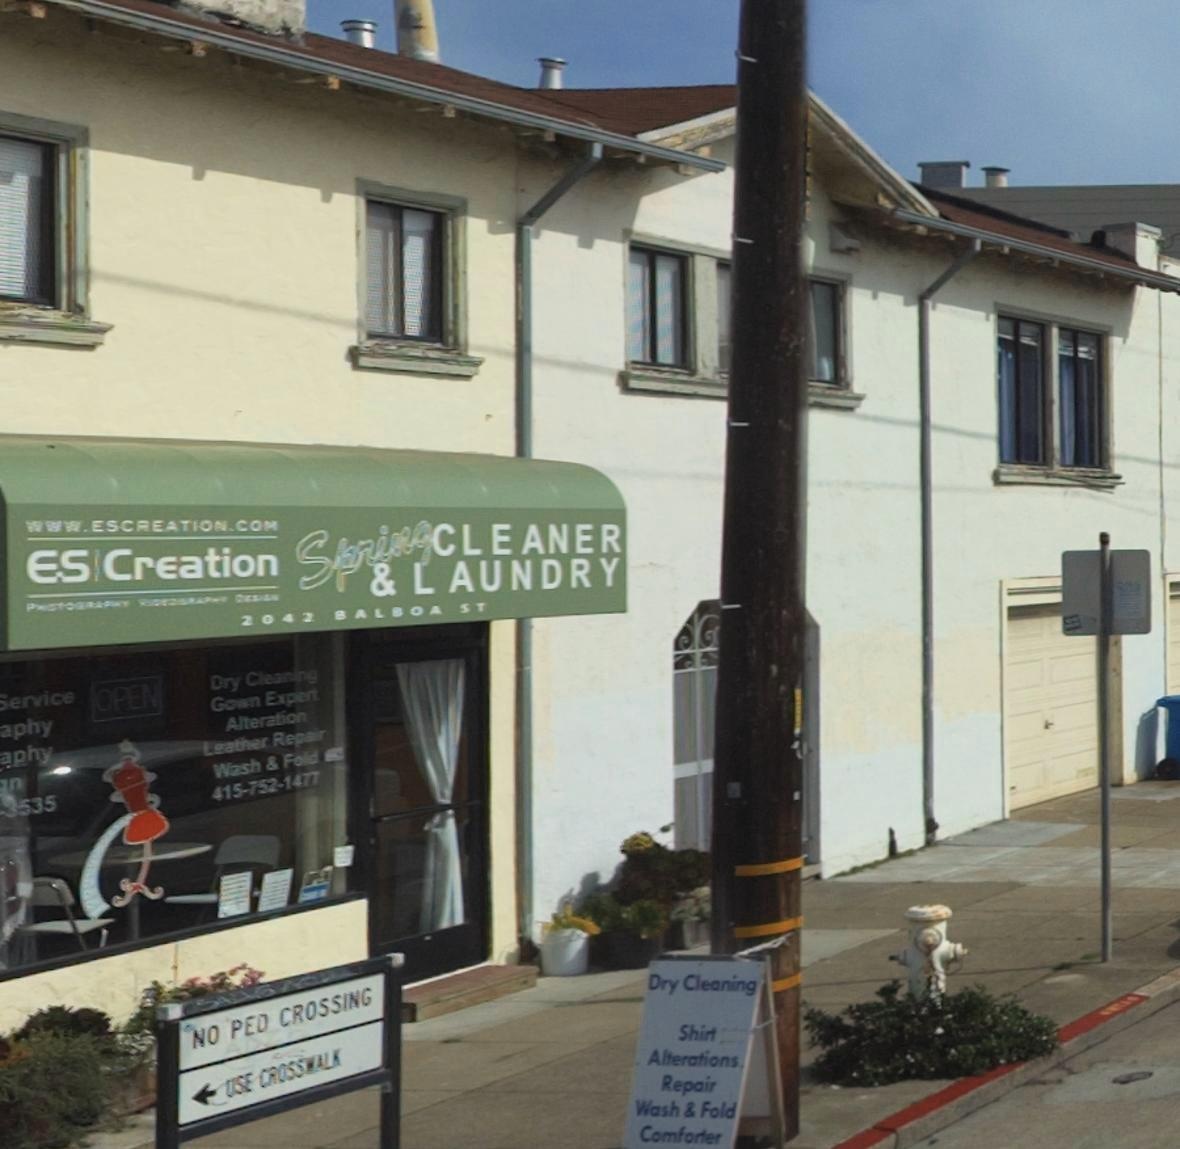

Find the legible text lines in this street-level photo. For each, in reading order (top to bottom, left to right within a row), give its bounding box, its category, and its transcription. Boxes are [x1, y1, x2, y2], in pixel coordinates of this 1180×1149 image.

[22, 516, 281, 535] None: WWW.ESCREATION.COM
[24, 544, 280, 587] BusinessName: ES Creation
[292, 519, 624, 596] BusinessName: Spring CLEANER
[367, 555, 623, 599] BusinessName: & LAUNDRY
[239, 609, 317, 629] StreetNumber: 2042
[332, 600, 488, 623] StreetName: BALBOA ST
[208, 666, 320, 694] None: Dry Cleaning
[6, 686, 77, 712] None: ervice
[94, 677, 160, 714] None: OPEN
[206, 685, 321, 716] None: Gown Expert
[0, 714, 57, 742] None: aphy
[200, 723, 328, 758] None: Leather Repair
[222, 705, 310, 736] None: Alteration
[0, 744, 57, 769] None: aphy
[209, 746, 321, 784] None: Wash & Fold
[7, 775, 25, 793] None: n
[208, 768, 321, 805] None: 415-752-1477
[4, 791, 60, 822] None: 3535
[646, 973, 760, 998] None: Dry Cleaning
[190, 985, 373, 1052] None: NO PED CROSSING
[676, 1022, 720, 1044] None: Shirt
[642, 1044, 742, 1071] None: Alterations
[224, 1043, 345, 1102] None: USE CROSSWALK
[660, 1071, 720, 1096] None: Repair
[631, 1096, 741, 1120] None: Wash & Fold
[639, 1122, 727, 1146] None: Comforter